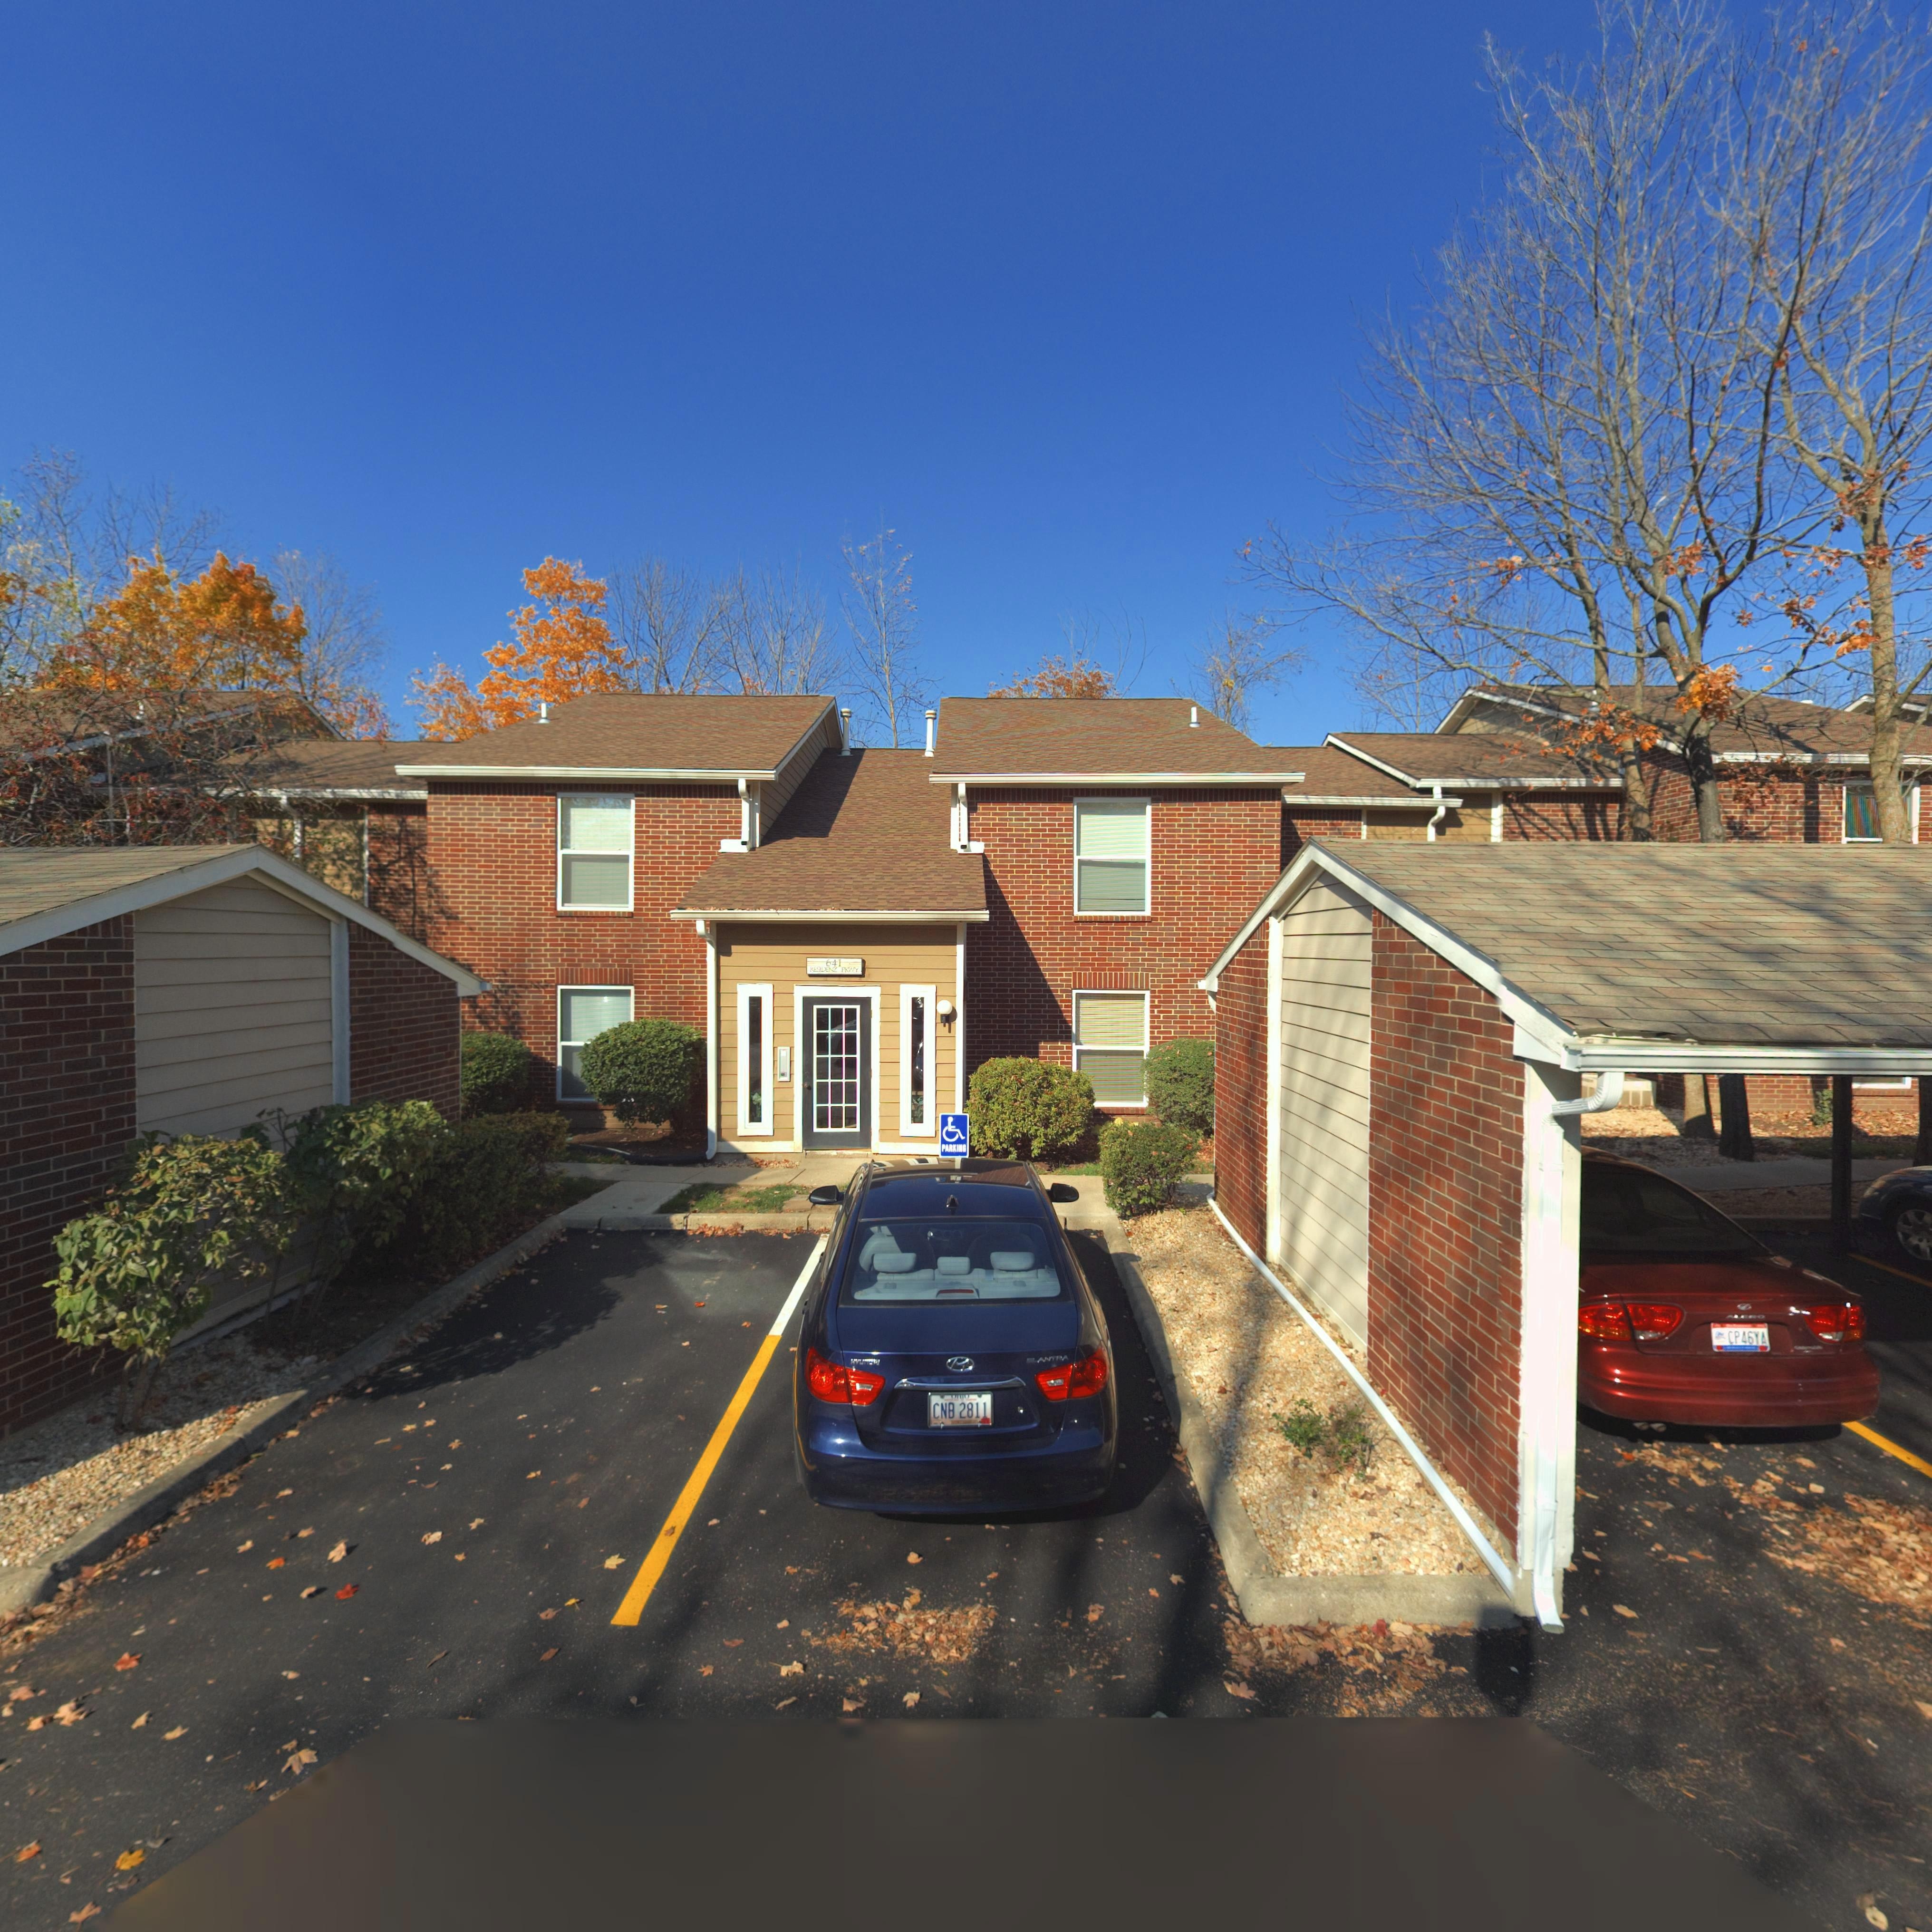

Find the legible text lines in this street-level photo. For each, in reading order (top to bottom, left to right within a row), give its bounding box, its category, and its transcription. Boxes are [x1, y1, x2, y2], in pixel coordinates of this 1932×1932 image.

[825, 958, 842, 968] StreetNumber: 641
[808, 966, 860, 974] StreetName: RE**DENZ PKWY
[940, 1143, 967, 1153] None: PARKING
[1726, 1329, 1769, 1346] None: CP46YA
[1036, 1353, 1070, 1364] None: ANTRA
[931, 1401, 988, 1420] None: CNB 2811